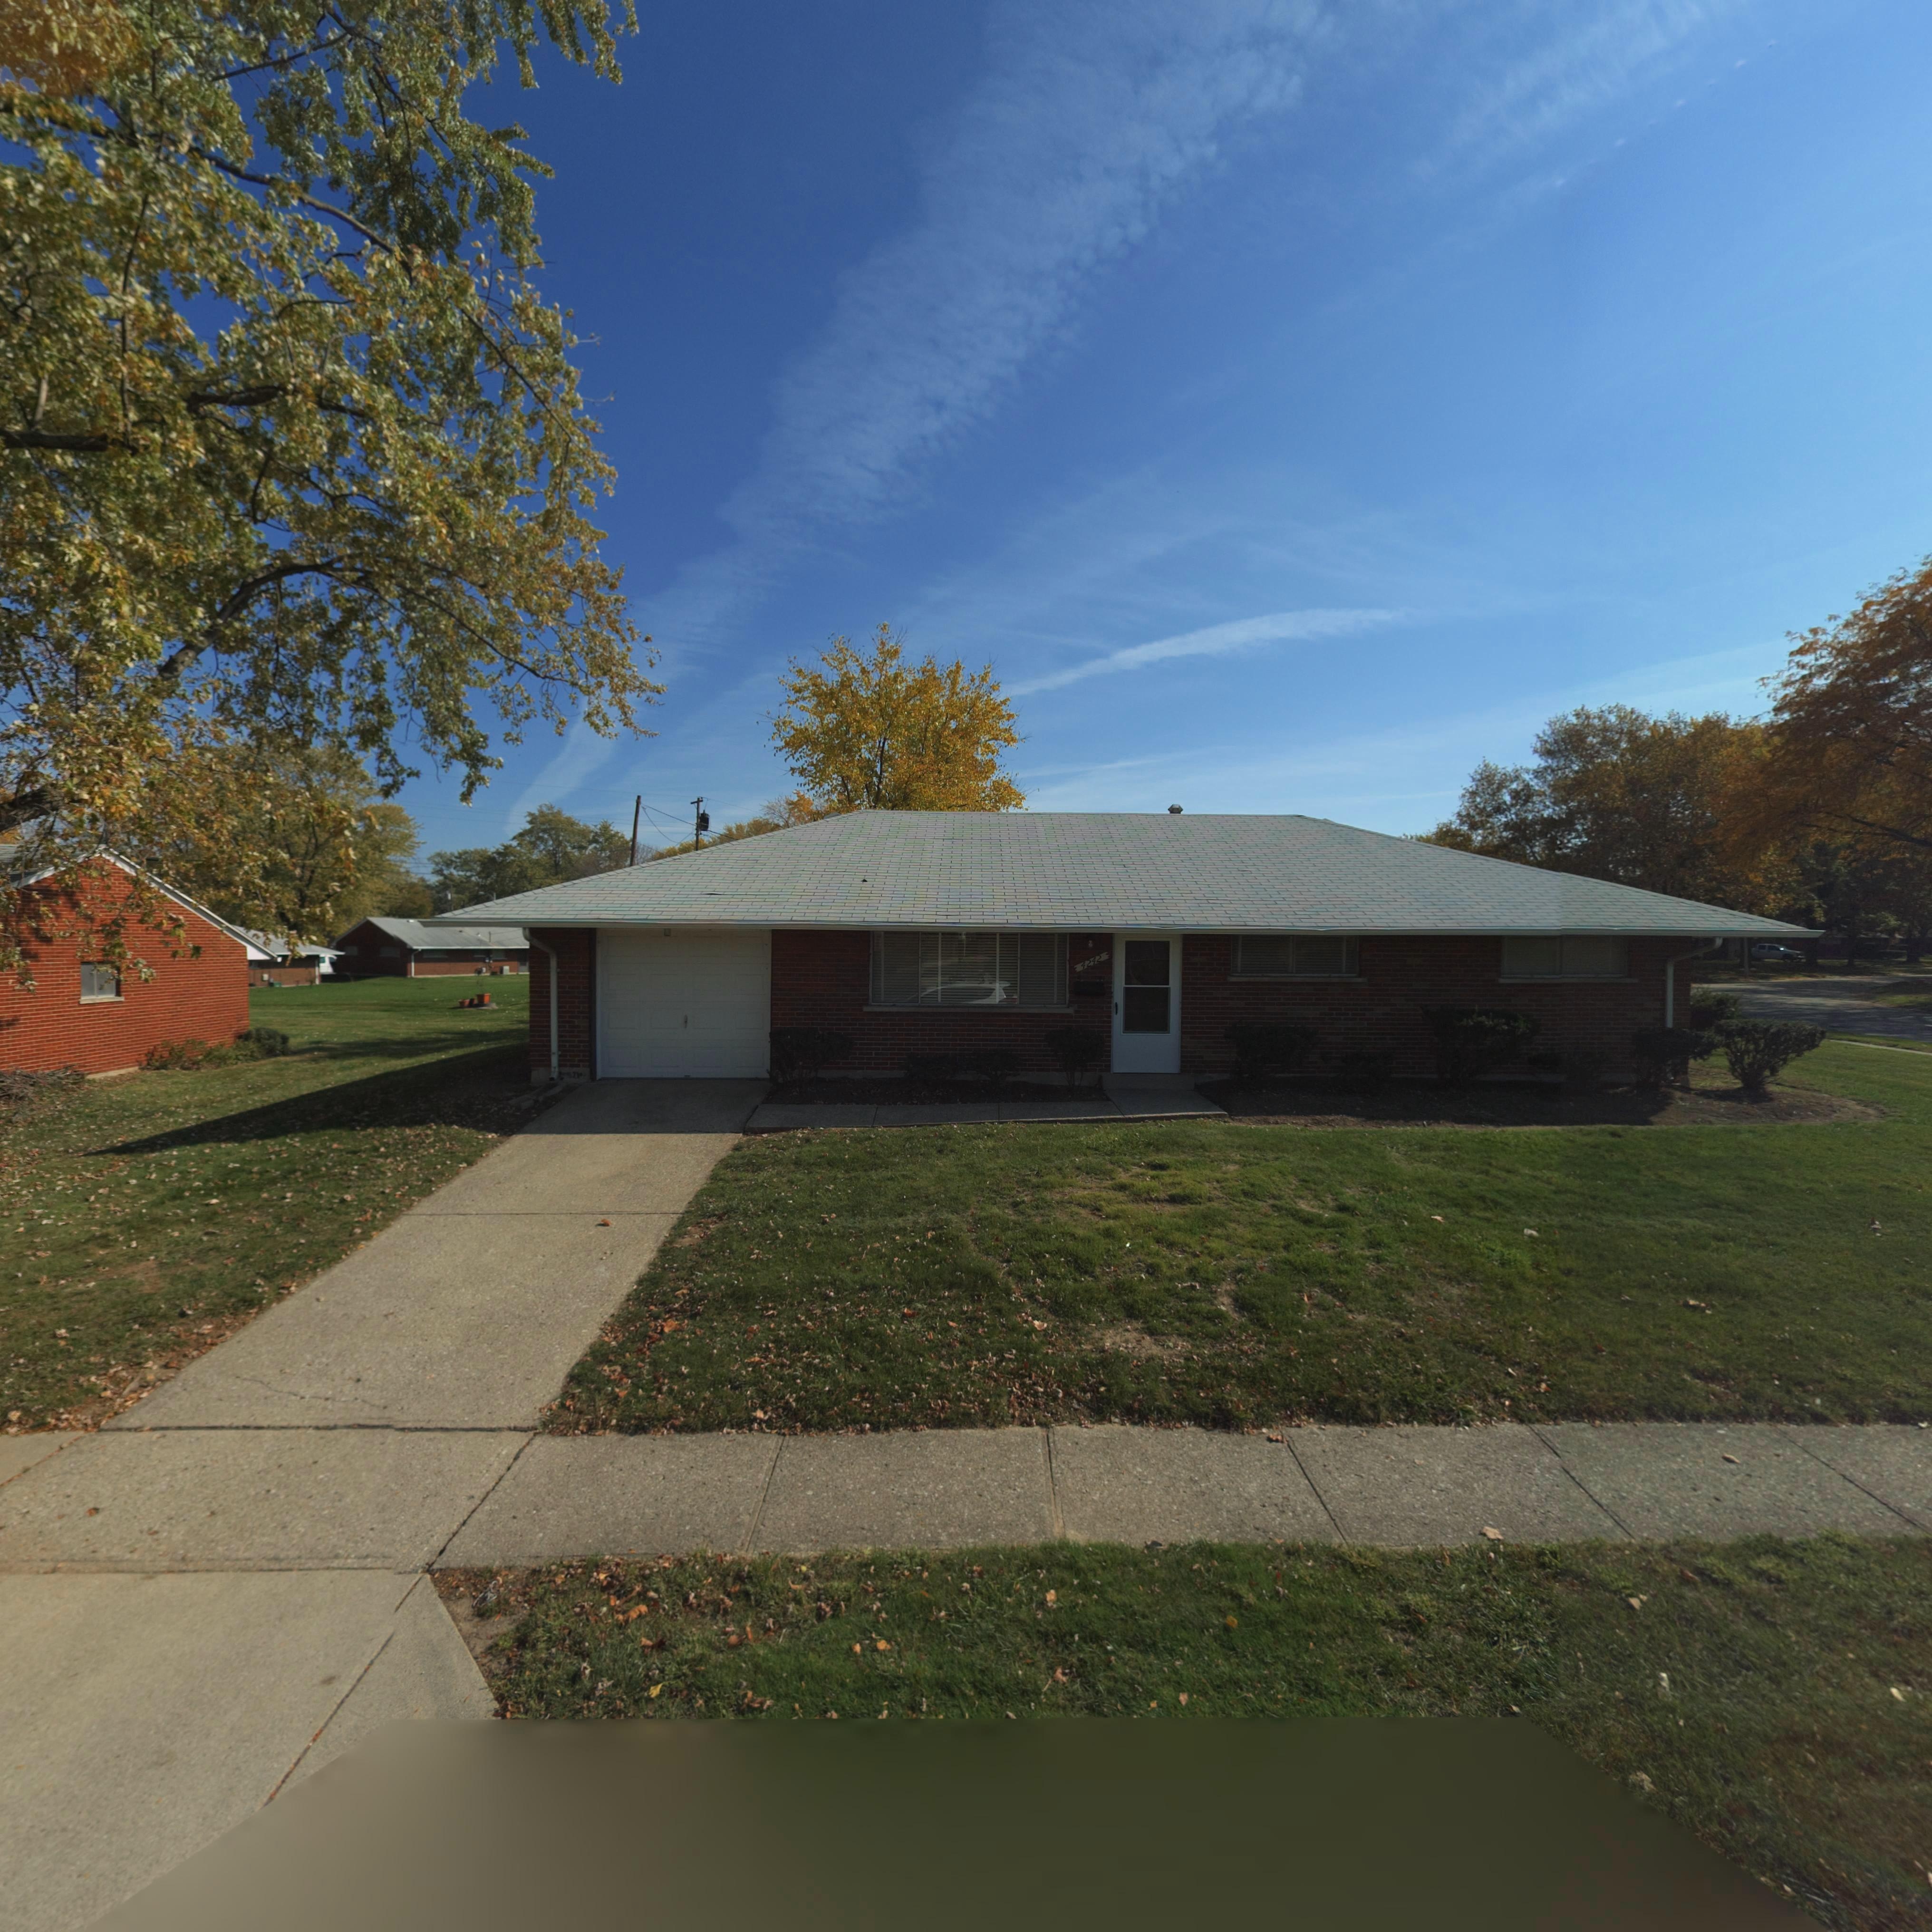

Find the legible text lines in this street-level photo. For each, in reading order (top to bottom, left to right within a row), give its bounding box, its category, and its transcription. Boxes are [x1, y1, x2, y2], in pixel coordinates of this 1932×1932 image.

[1079, 954, 1102, 970] StreetNumber: 4242